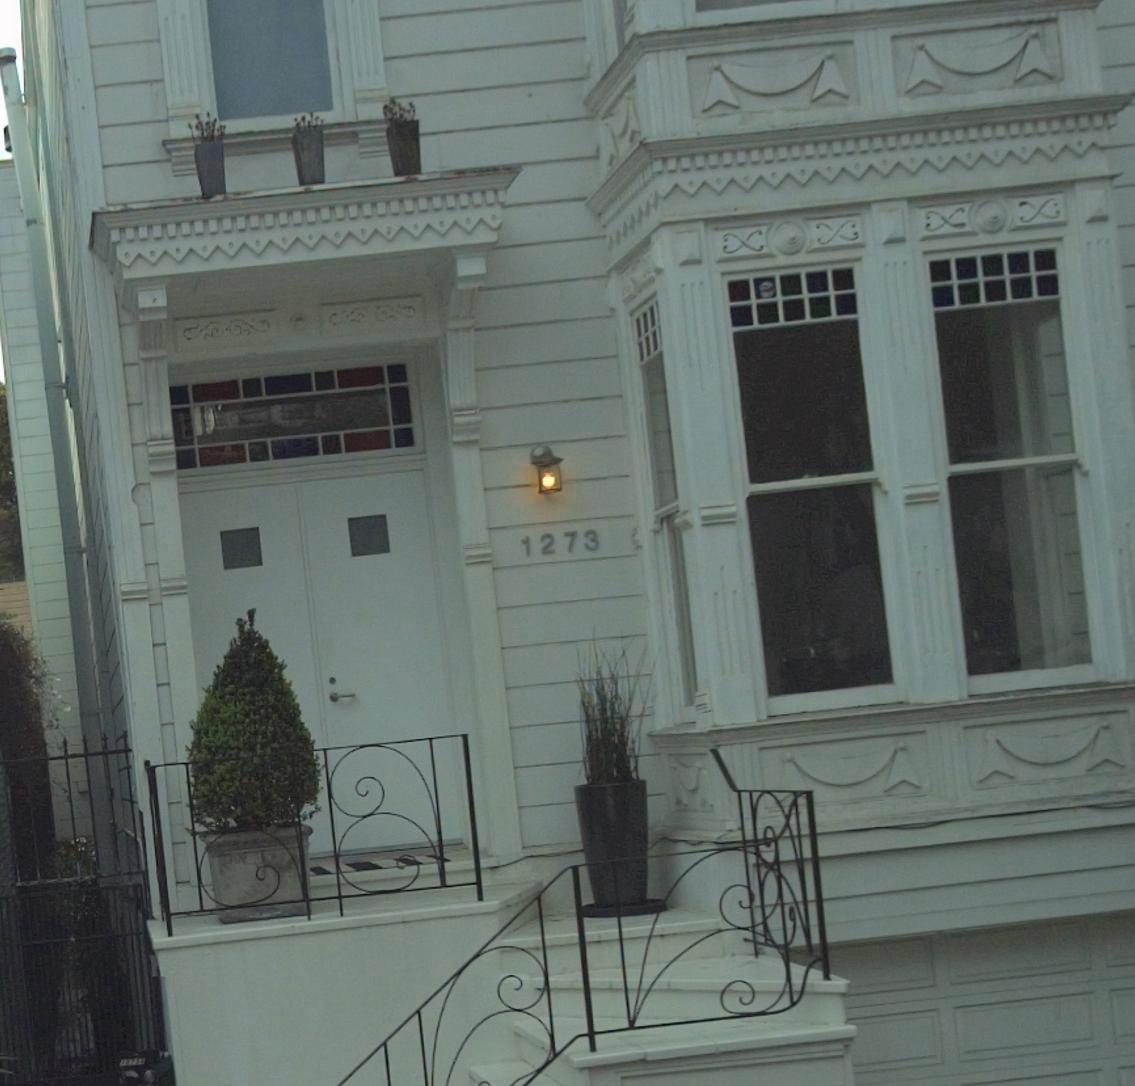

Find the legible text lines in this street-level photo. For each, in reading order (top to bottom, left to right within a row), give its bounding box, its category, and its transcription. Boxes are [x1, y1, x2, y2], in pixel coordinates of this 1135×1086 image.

[518, 525, 603, 560] StreetNumber: 1273